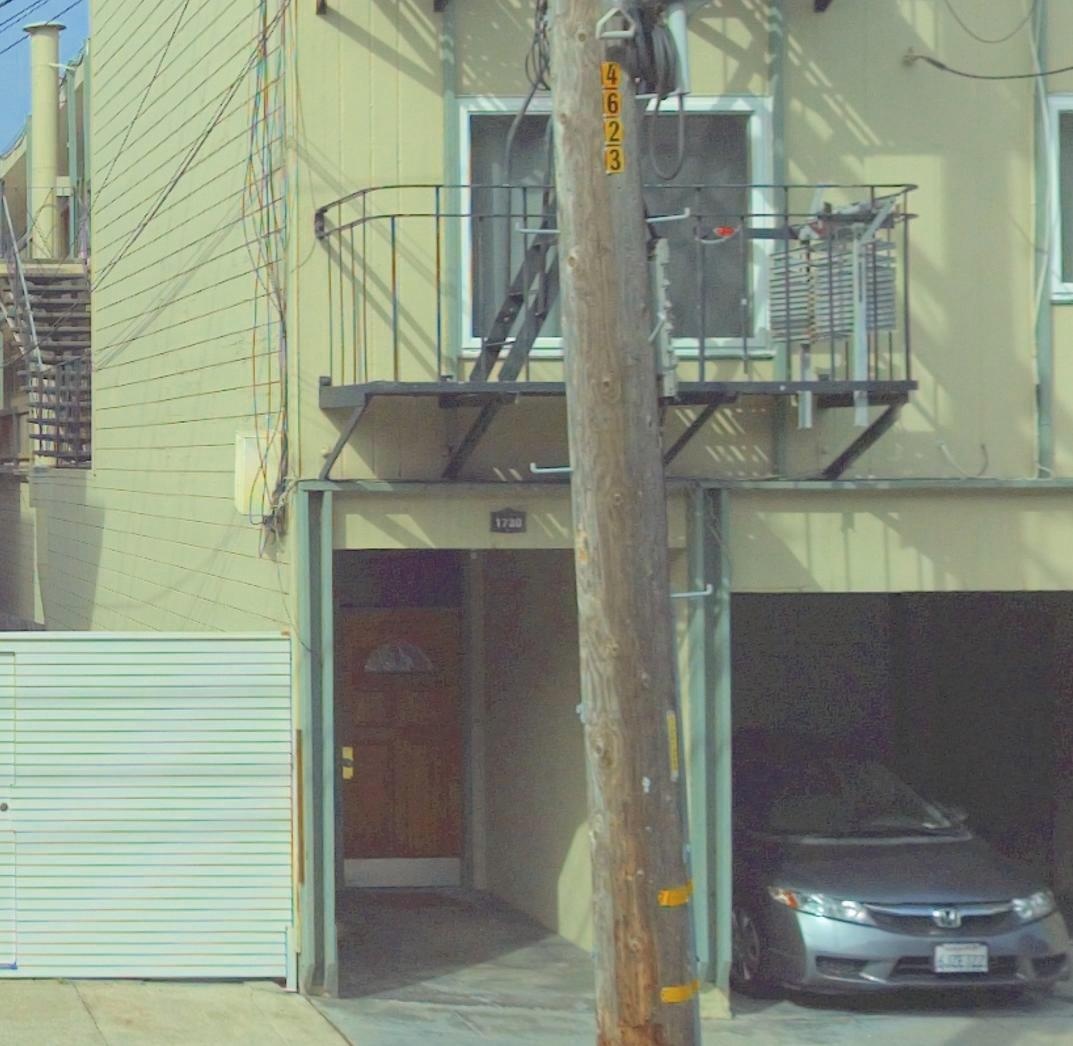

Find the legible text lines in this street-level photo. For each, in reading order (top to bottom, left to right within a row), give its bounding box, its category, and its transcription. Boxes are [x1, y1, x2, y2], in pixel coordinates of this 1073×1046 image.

[603, 61, 624, 174] None: 4623
[494, 516, 524, 530] StreetNumber: 1730